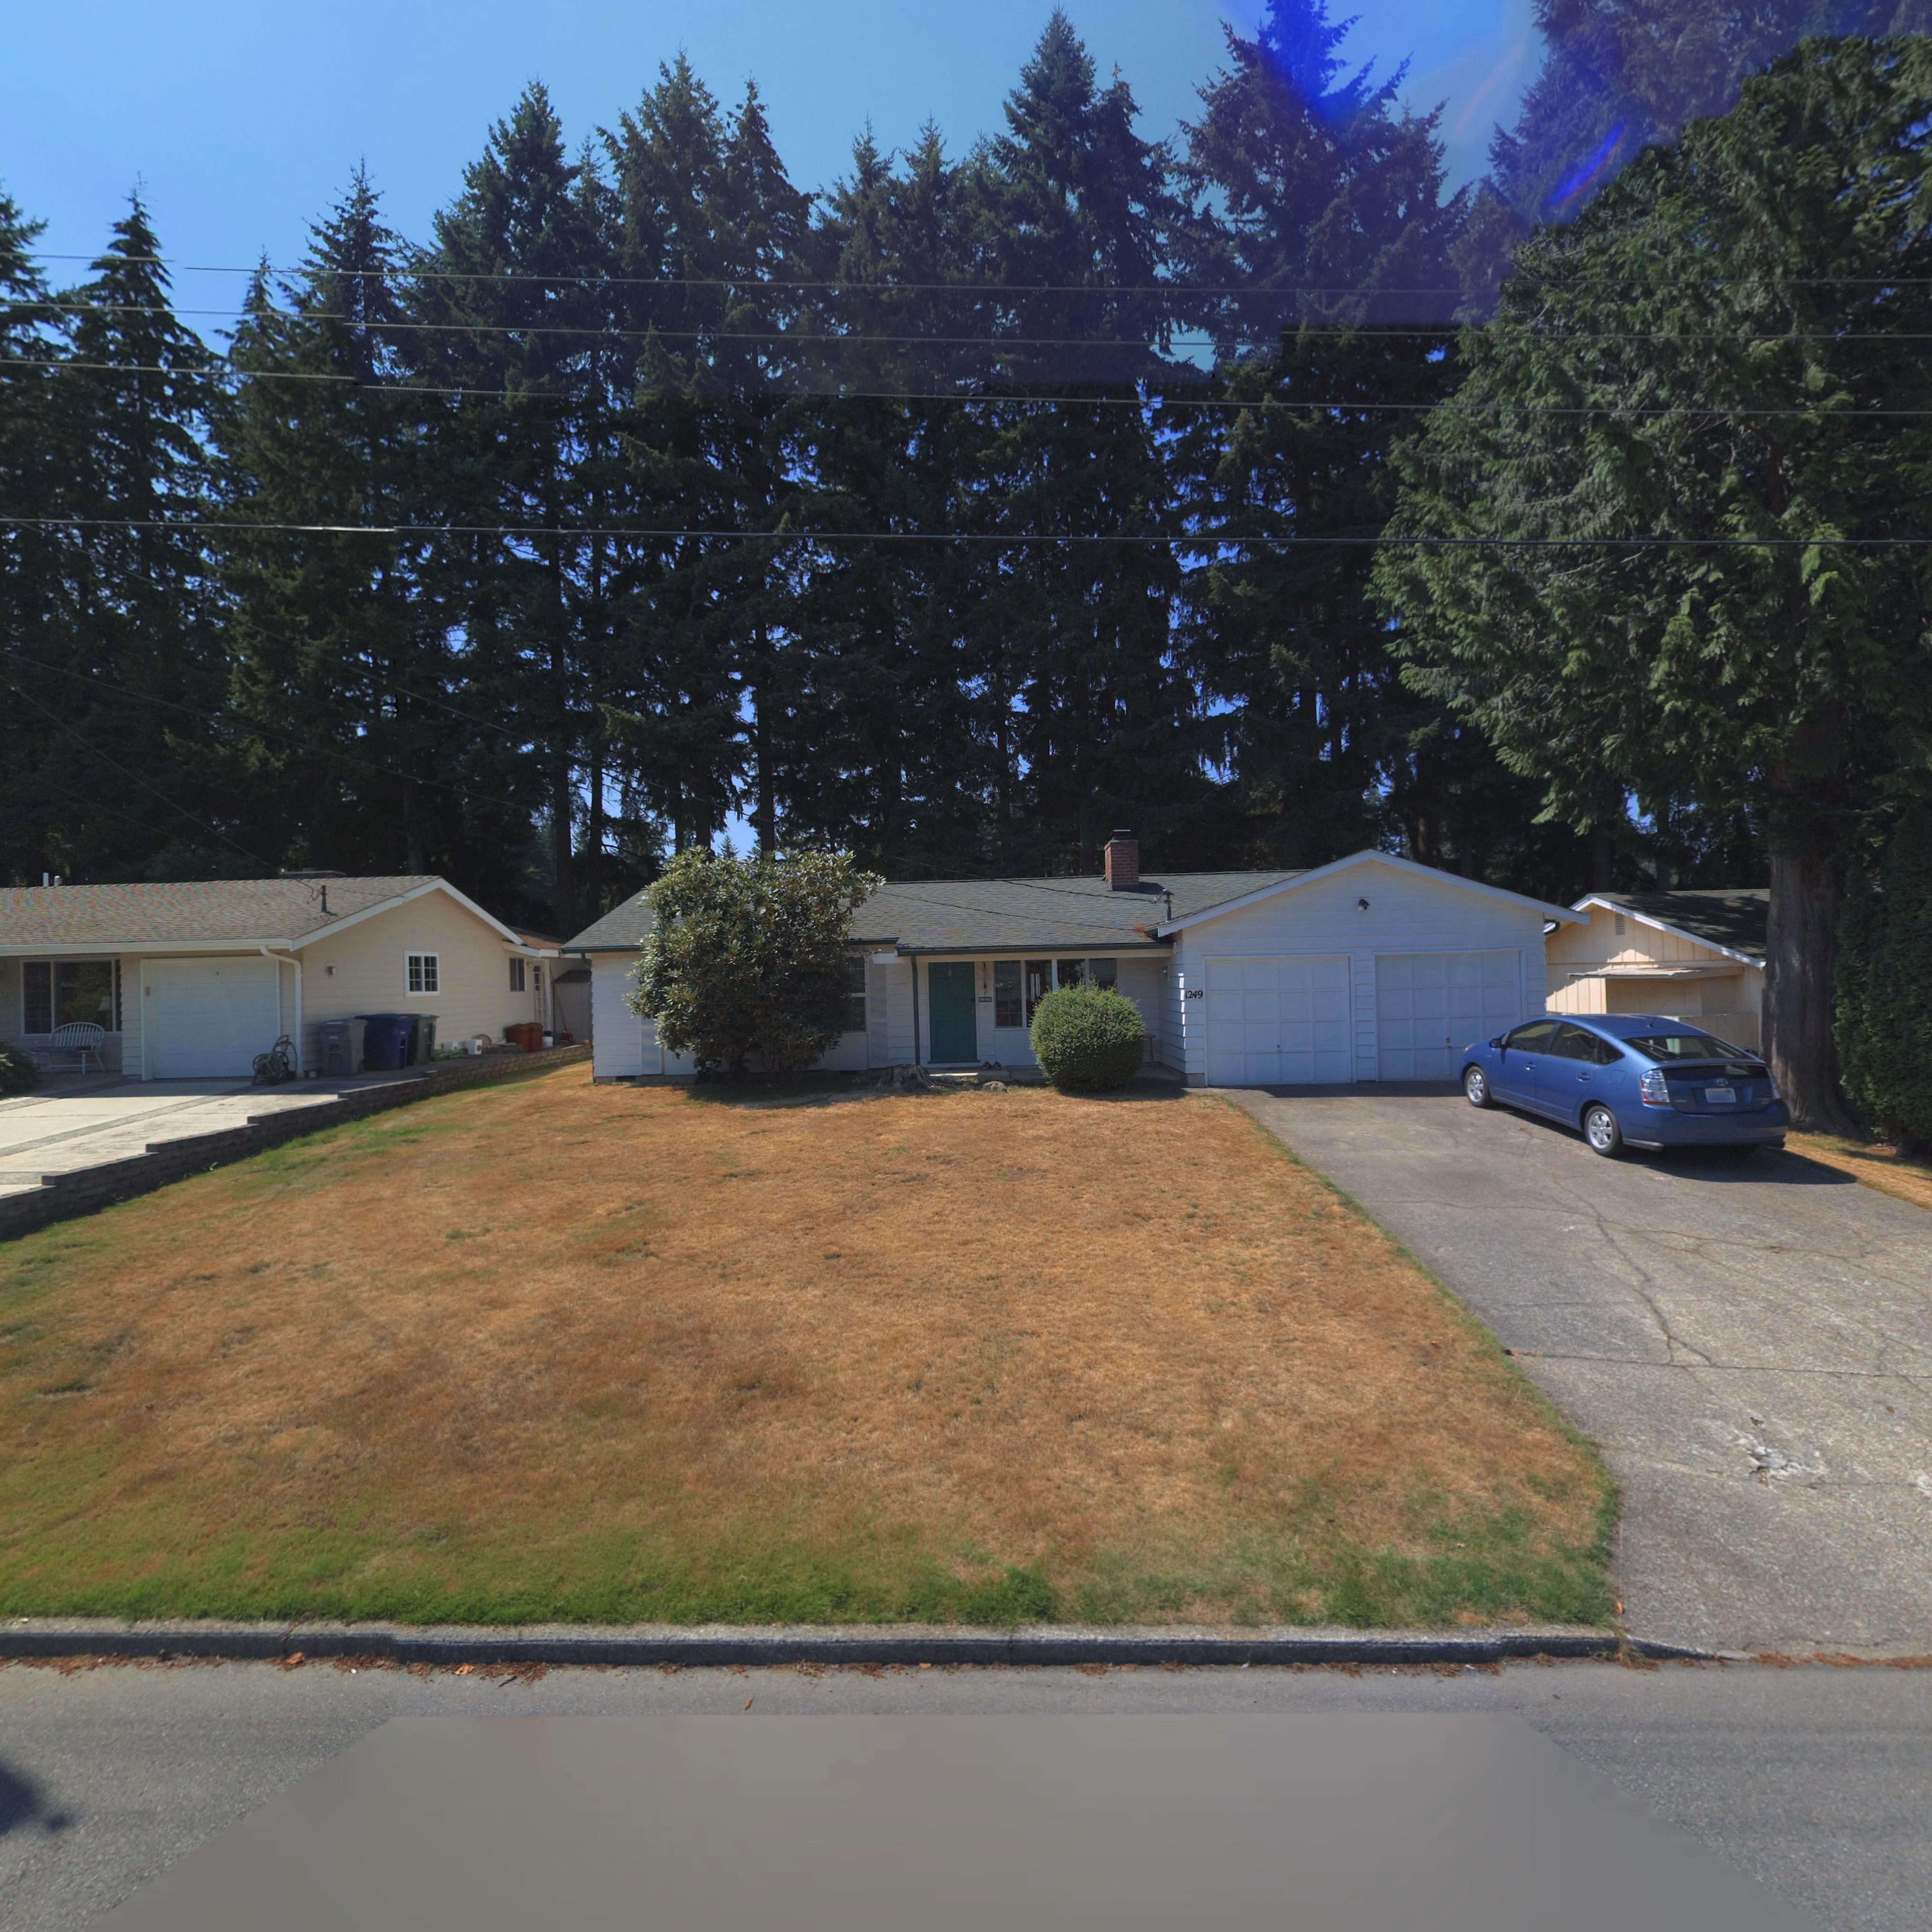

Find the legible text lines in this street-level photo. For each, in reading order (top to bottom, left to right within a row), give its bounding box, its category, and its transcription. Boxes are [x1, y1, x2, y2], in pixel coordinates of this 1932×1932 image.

[1185, 989, 1203, 999] StreetNumber: 1249